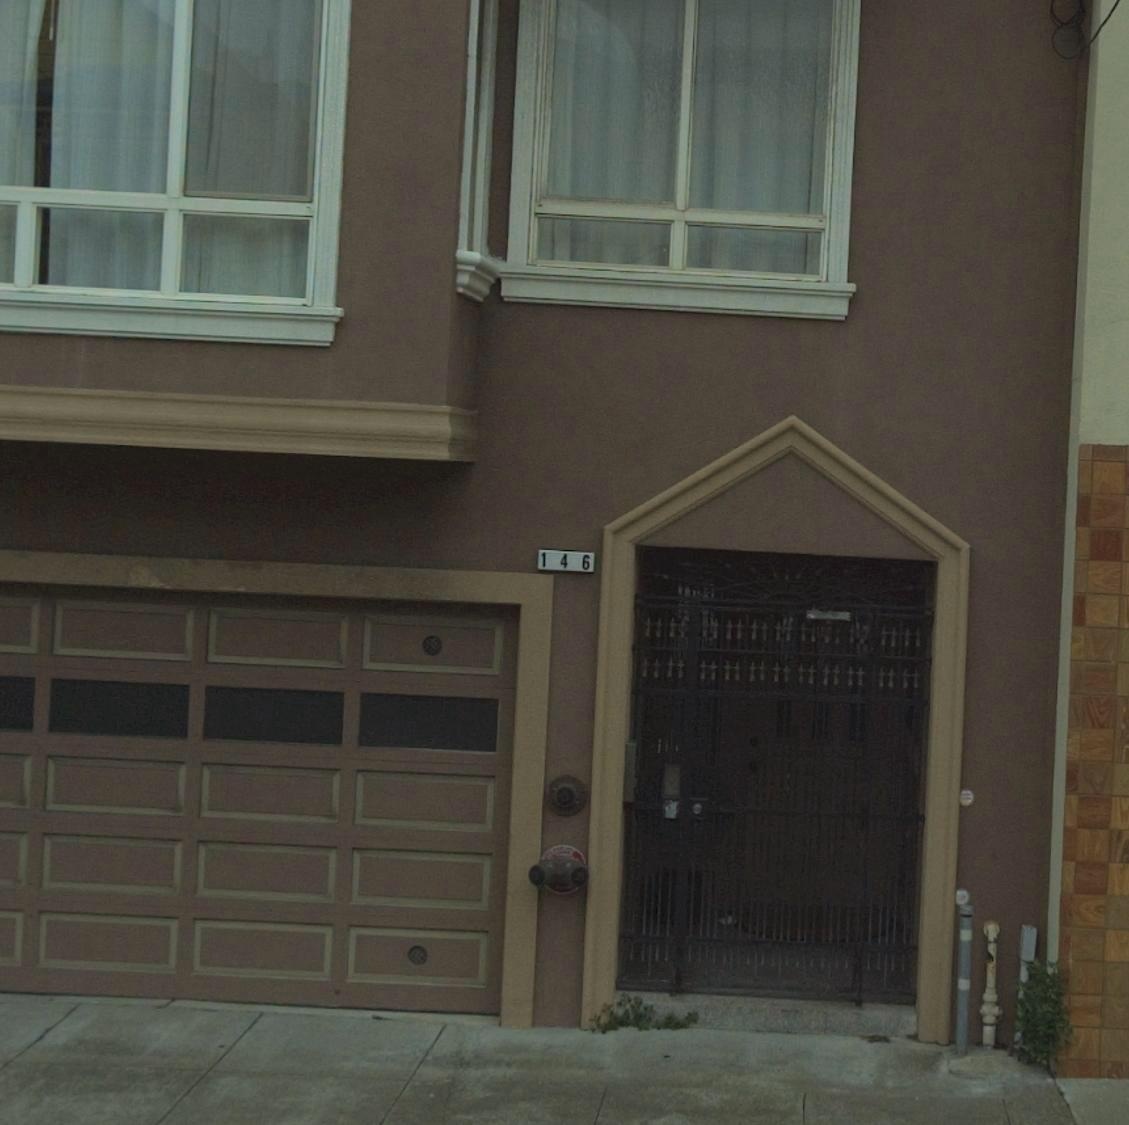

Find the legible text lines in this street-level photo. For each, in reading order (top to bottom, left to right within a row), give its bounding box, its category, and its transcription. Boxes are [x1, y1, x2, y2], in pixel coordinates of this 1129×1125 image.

[539, 550, 591, 571] StreetNumber: 146